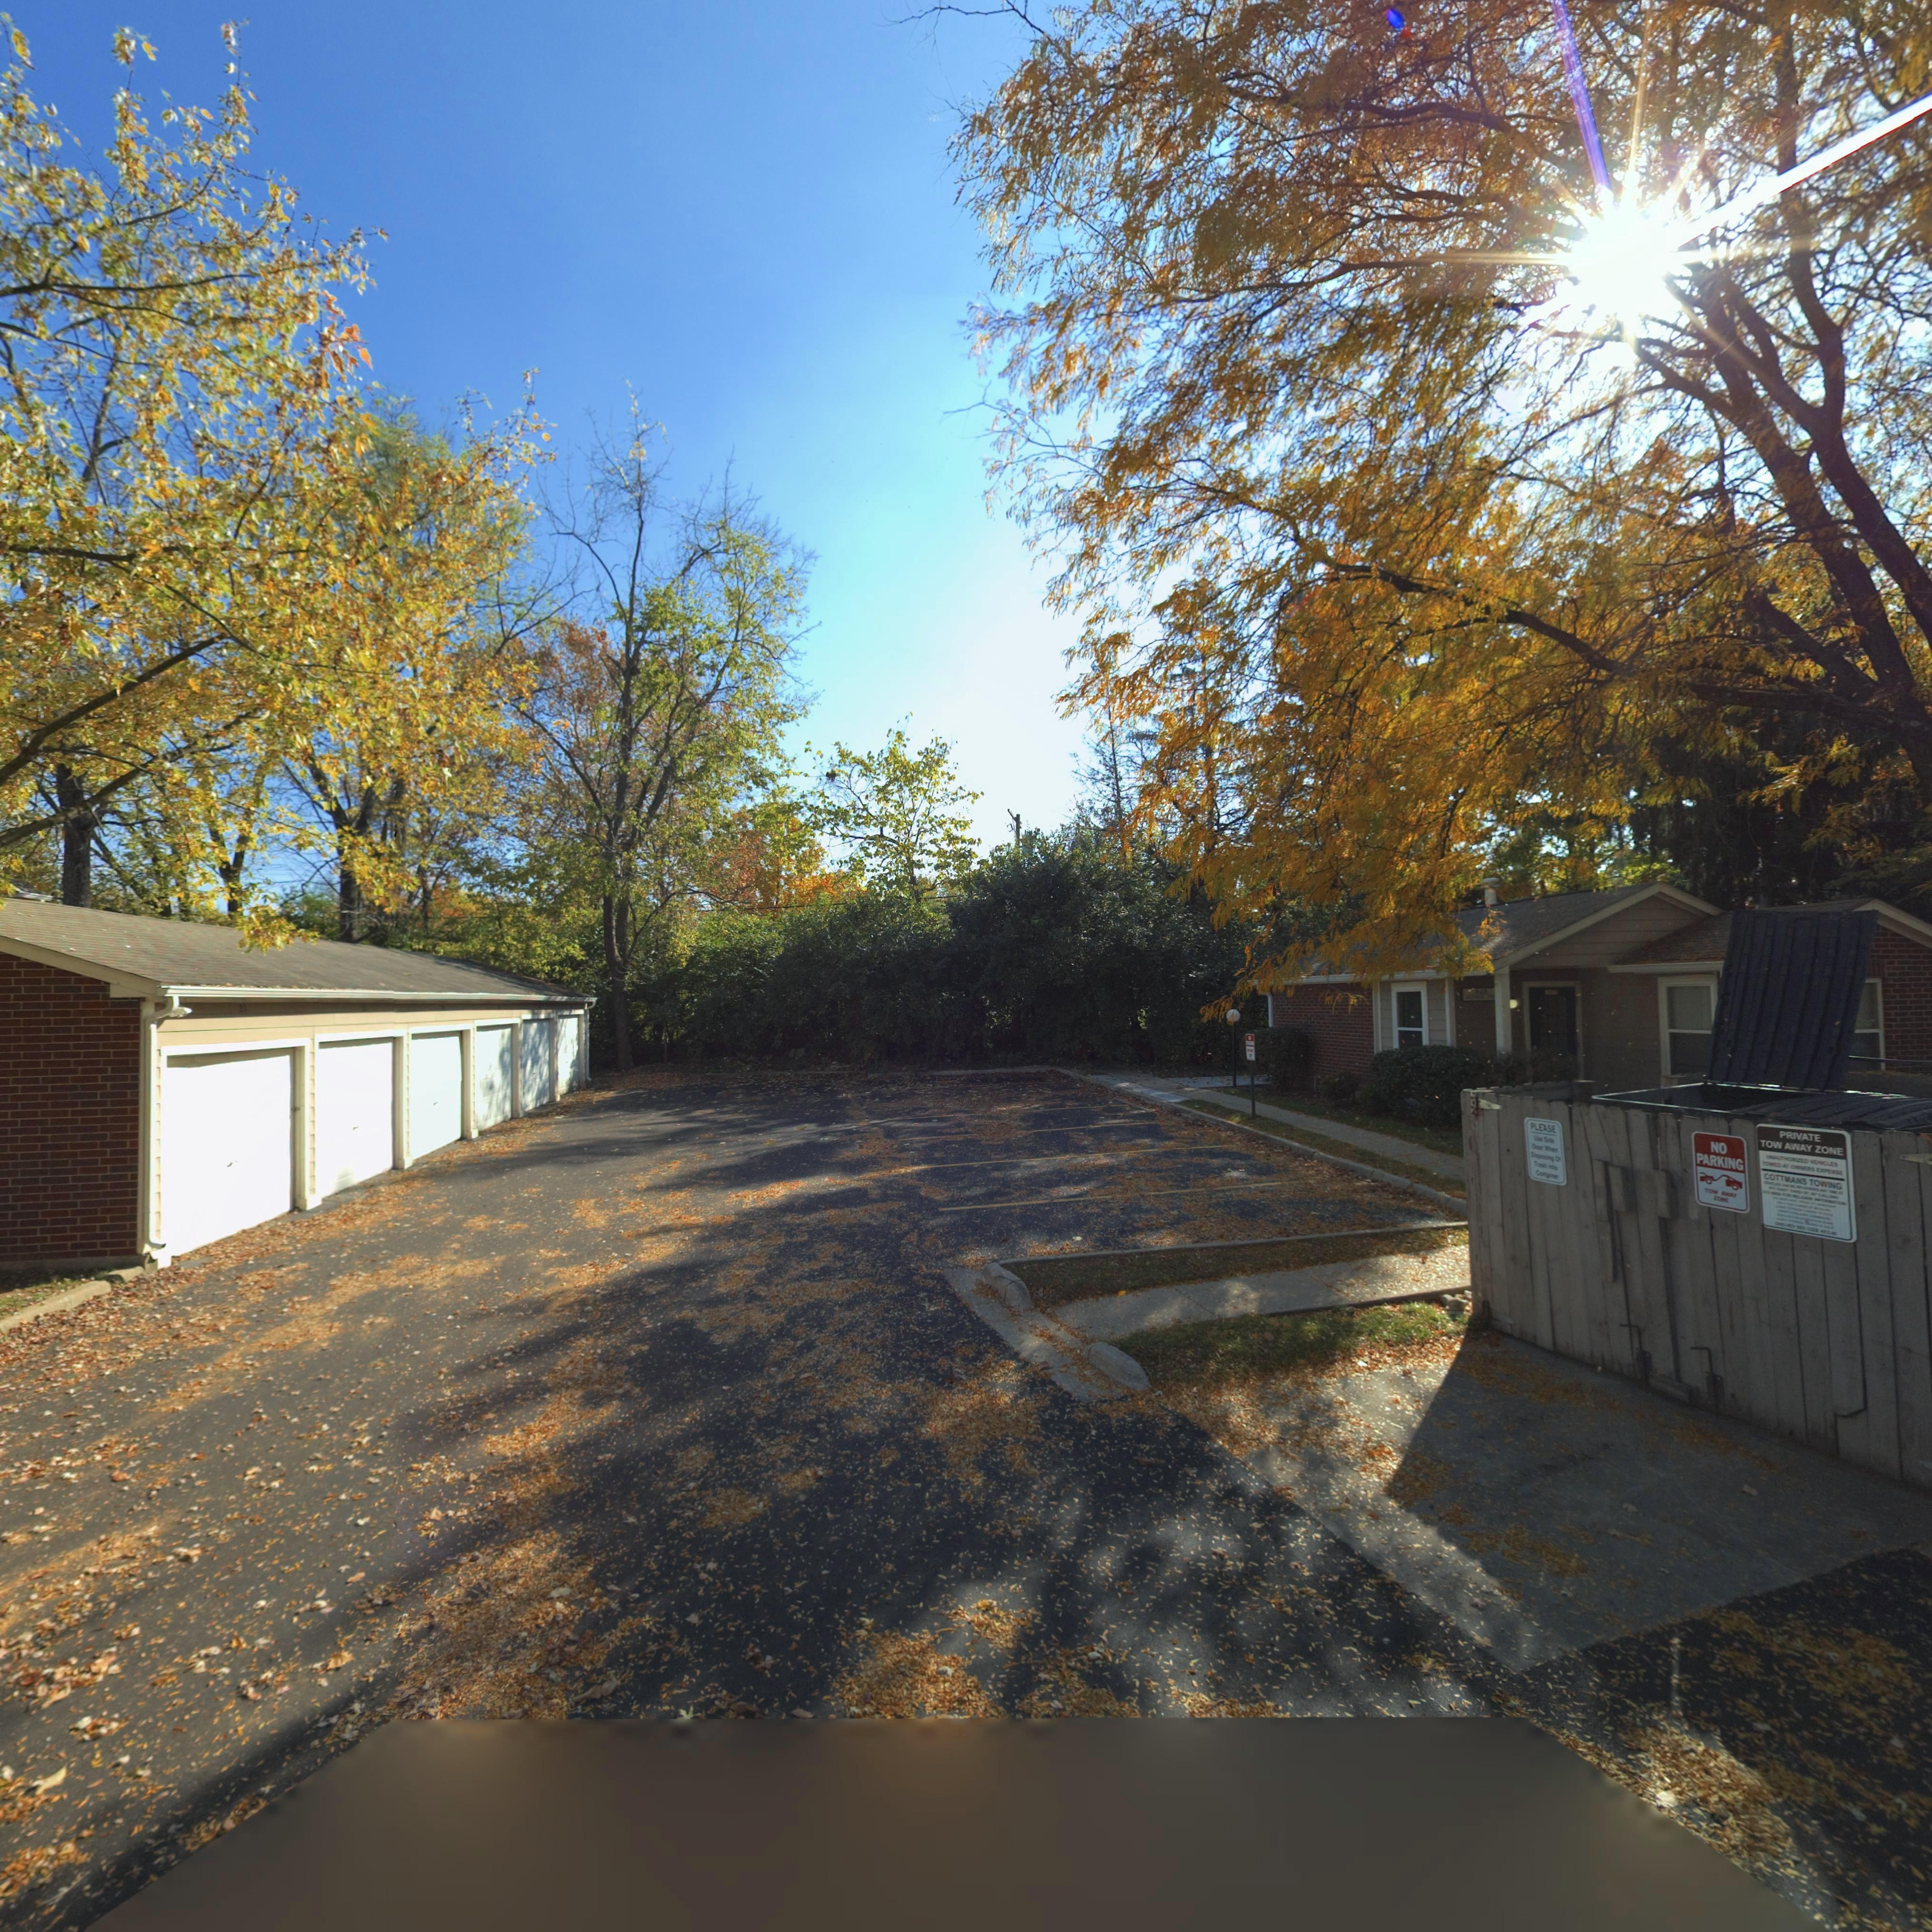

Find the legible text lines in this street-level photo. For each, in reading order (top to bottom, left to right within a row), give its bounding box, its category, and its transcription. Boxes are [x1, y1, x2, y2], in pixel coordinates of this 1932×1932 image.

[1529, 1121, 1557, 1134] None: PLEASE
[1779, 1130, 1821, 1143] None: PRIVATE
[1710, 1140, 1729, 1155] None: NO
[1759, 1139, 1845, 1157] None: TOW AWAY ZONE
[1695, 1152, 1745, 1172] None: PARKING
[1764, 1172, 1843, 1191] None: COTTMANS TO***G